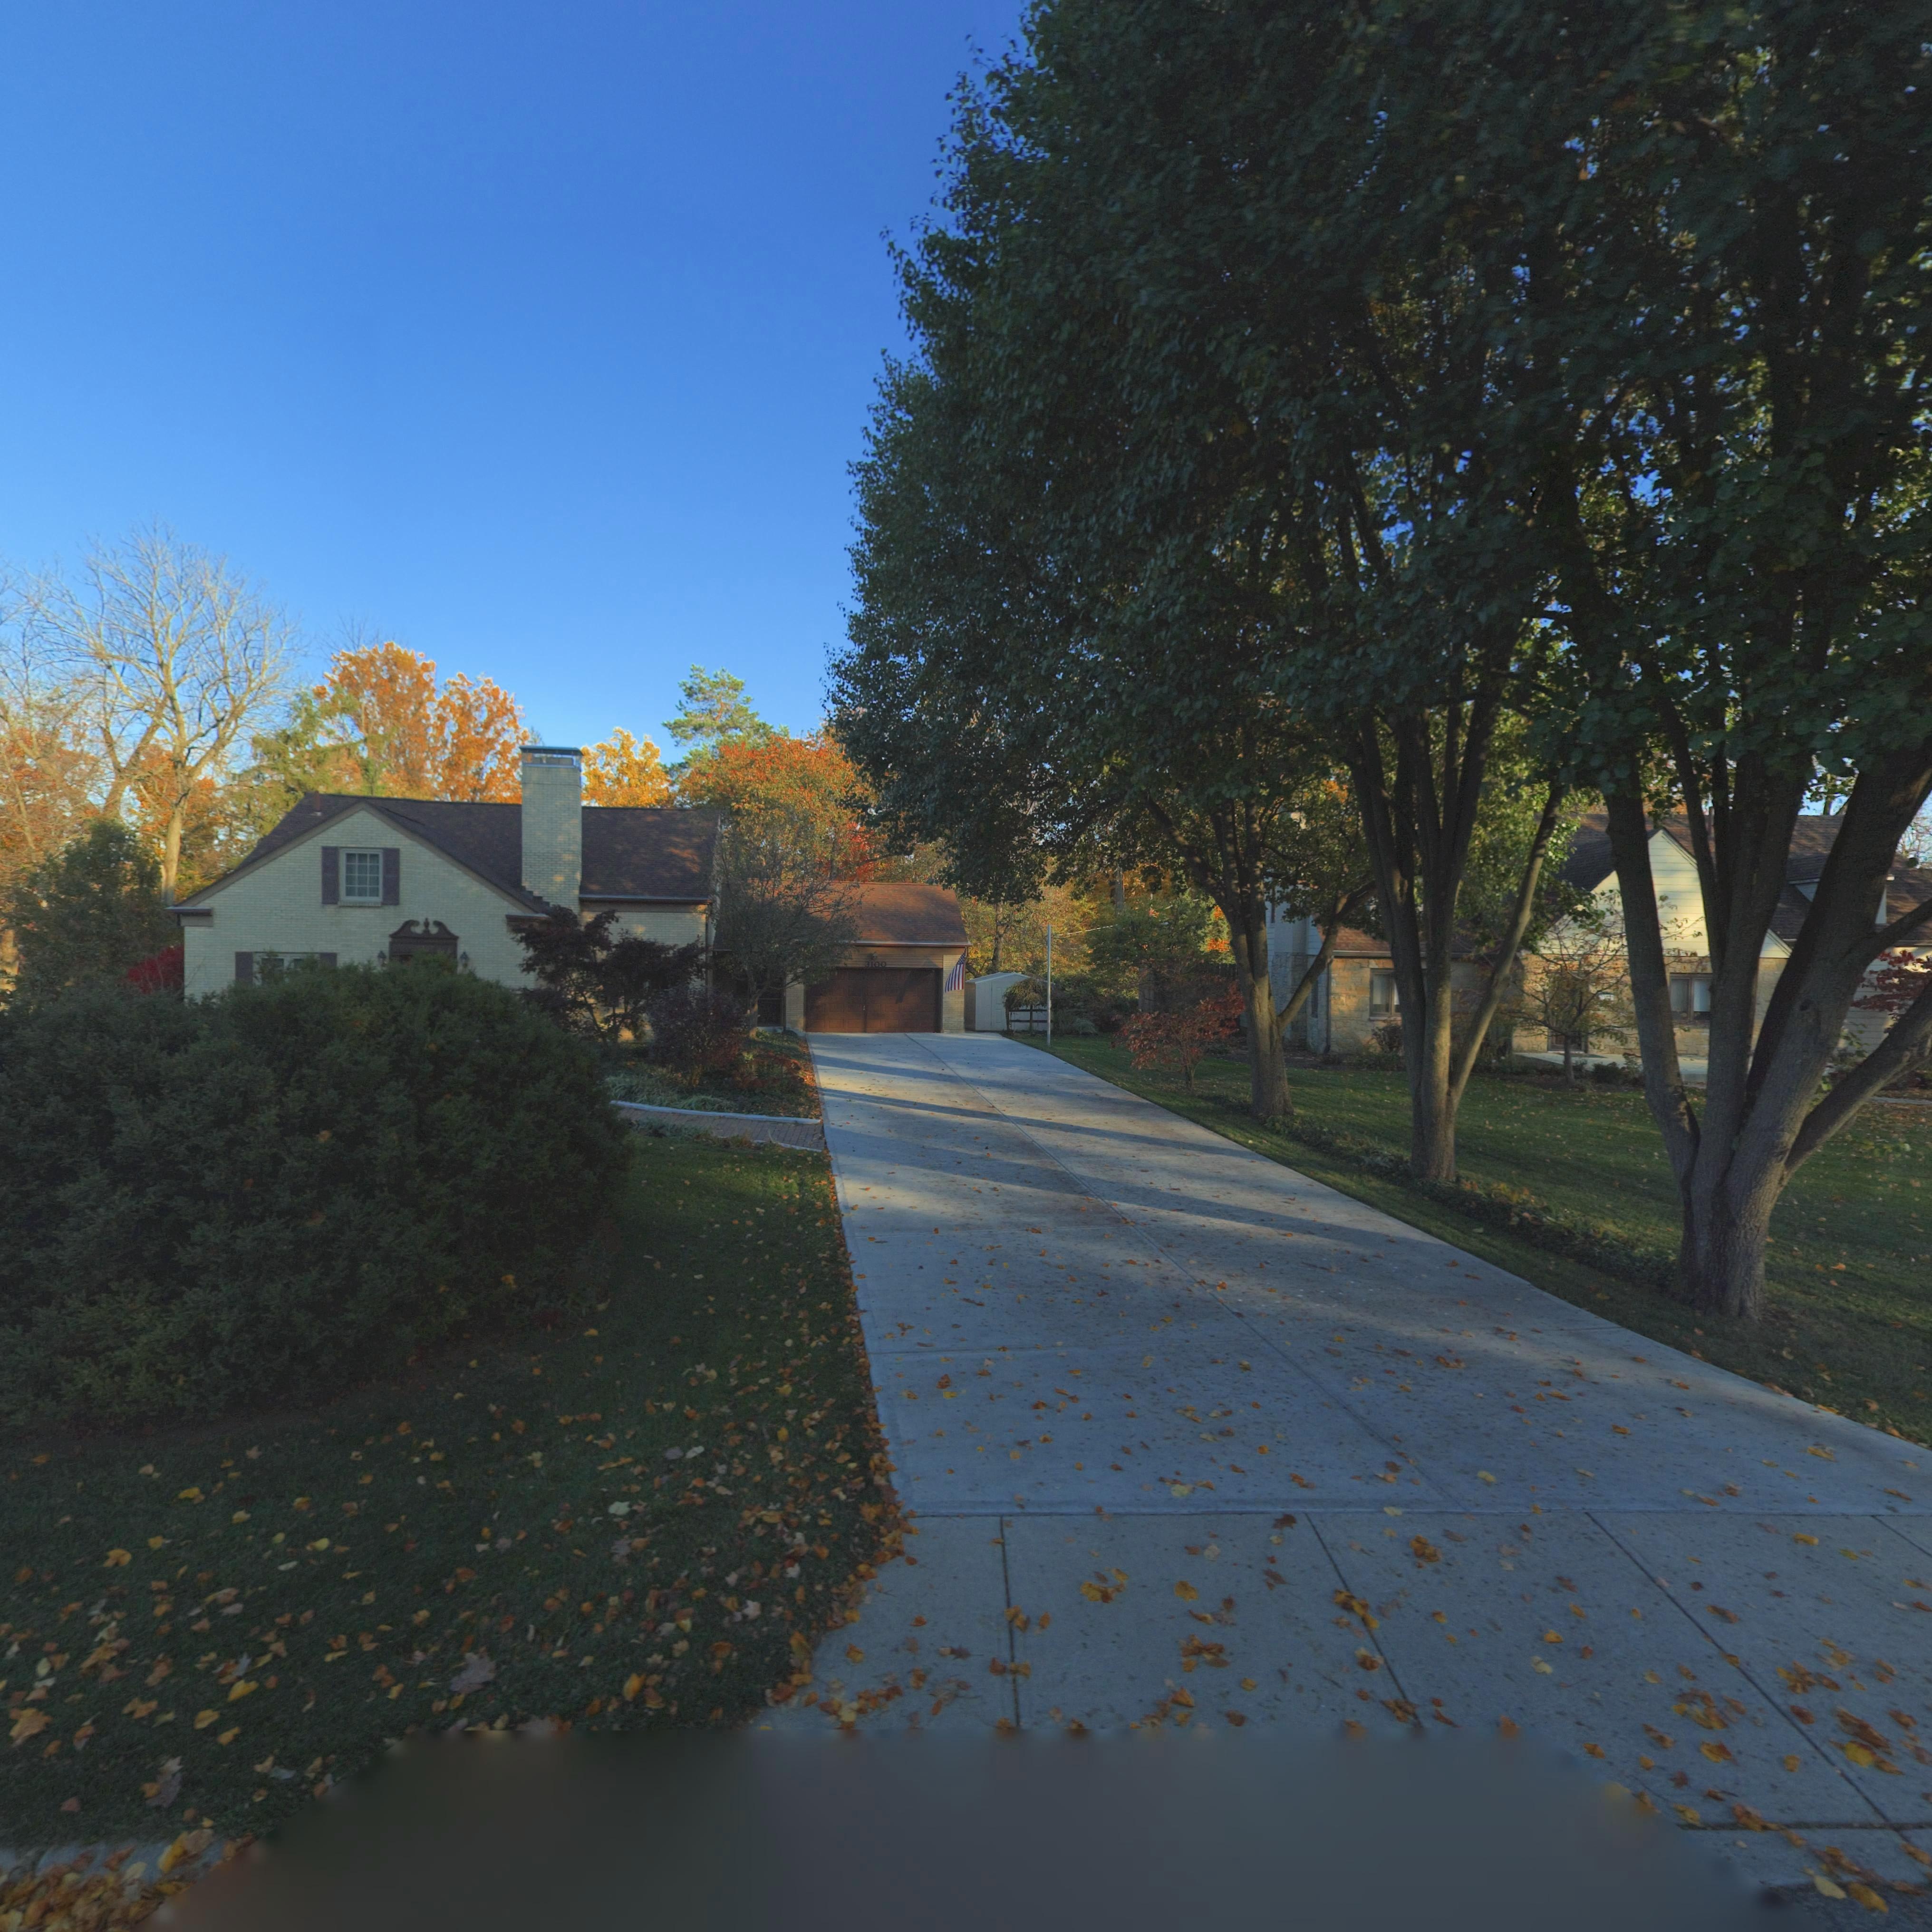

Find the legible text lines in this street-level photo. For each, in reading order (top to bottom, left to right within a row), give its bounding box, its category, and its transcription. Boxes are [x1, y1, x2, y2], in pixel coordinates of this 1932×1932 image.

[864, 960, 888, 968] StreetNumber: 3100